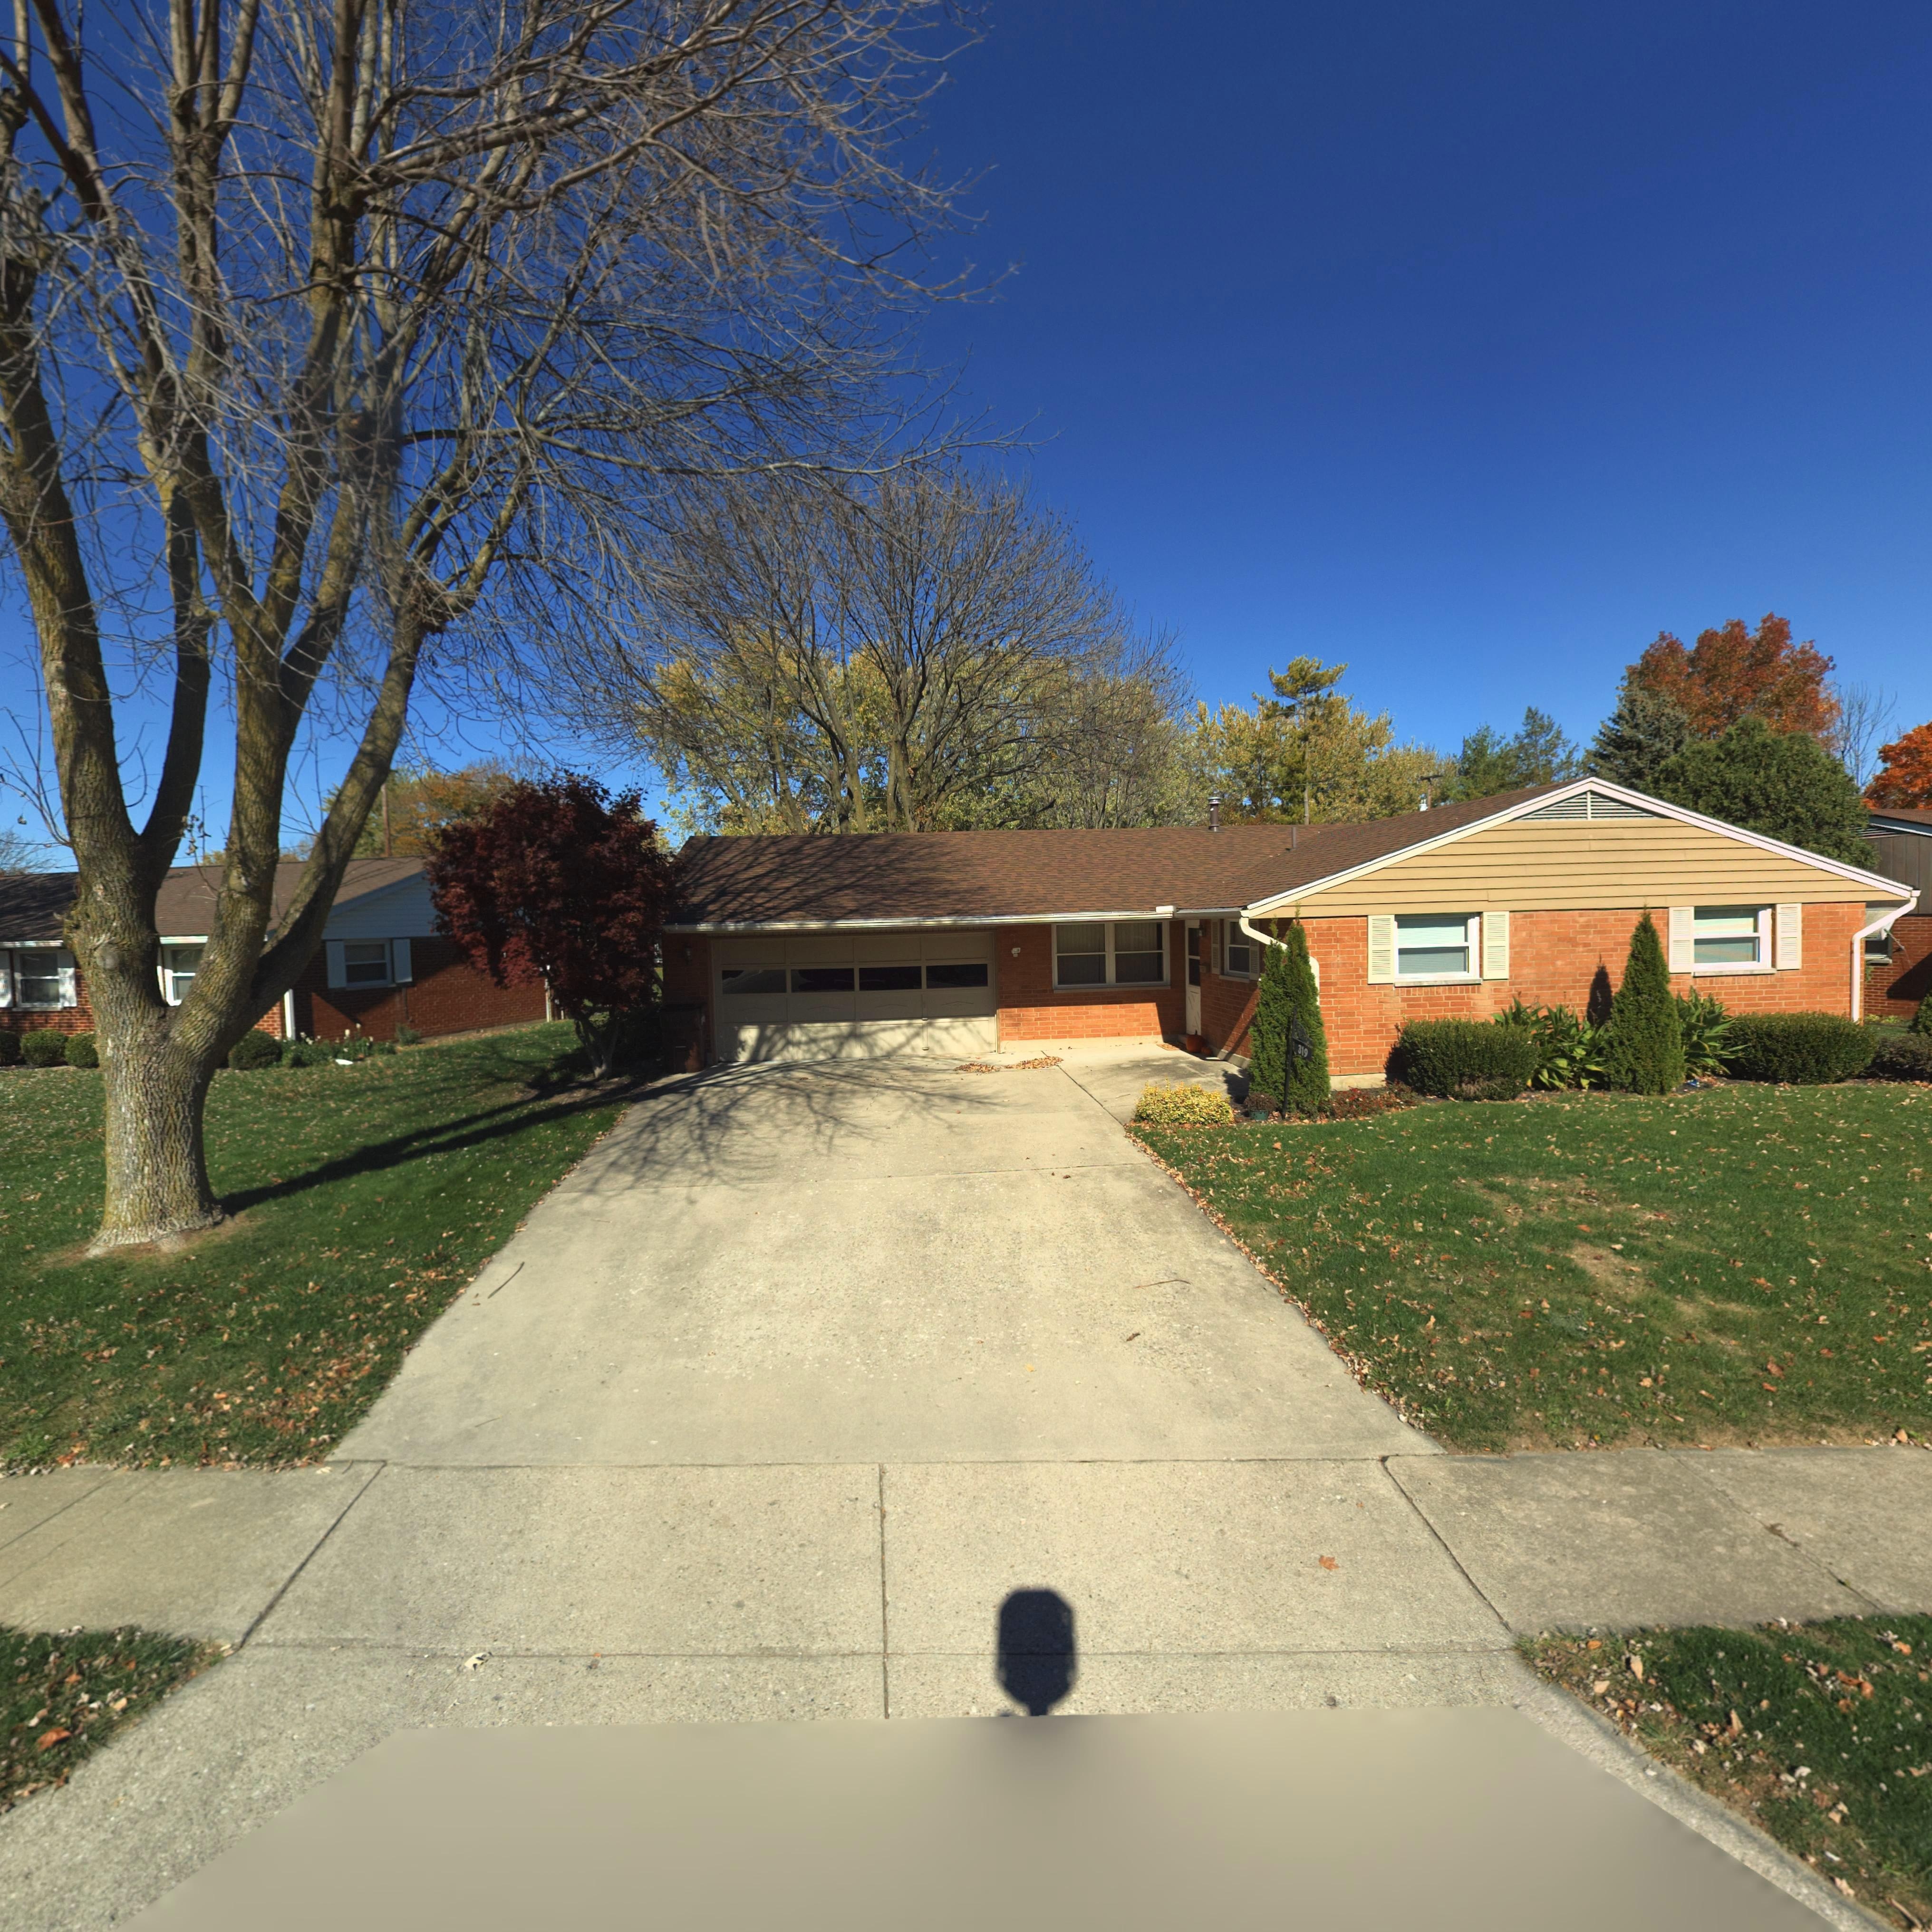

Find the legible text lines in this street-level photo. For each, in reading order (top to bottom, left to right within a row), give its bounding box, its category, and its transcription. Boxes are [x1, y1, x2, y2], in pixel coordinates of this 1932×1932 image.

[1297, 1043, 1309, 1059] StreetNumber: 319